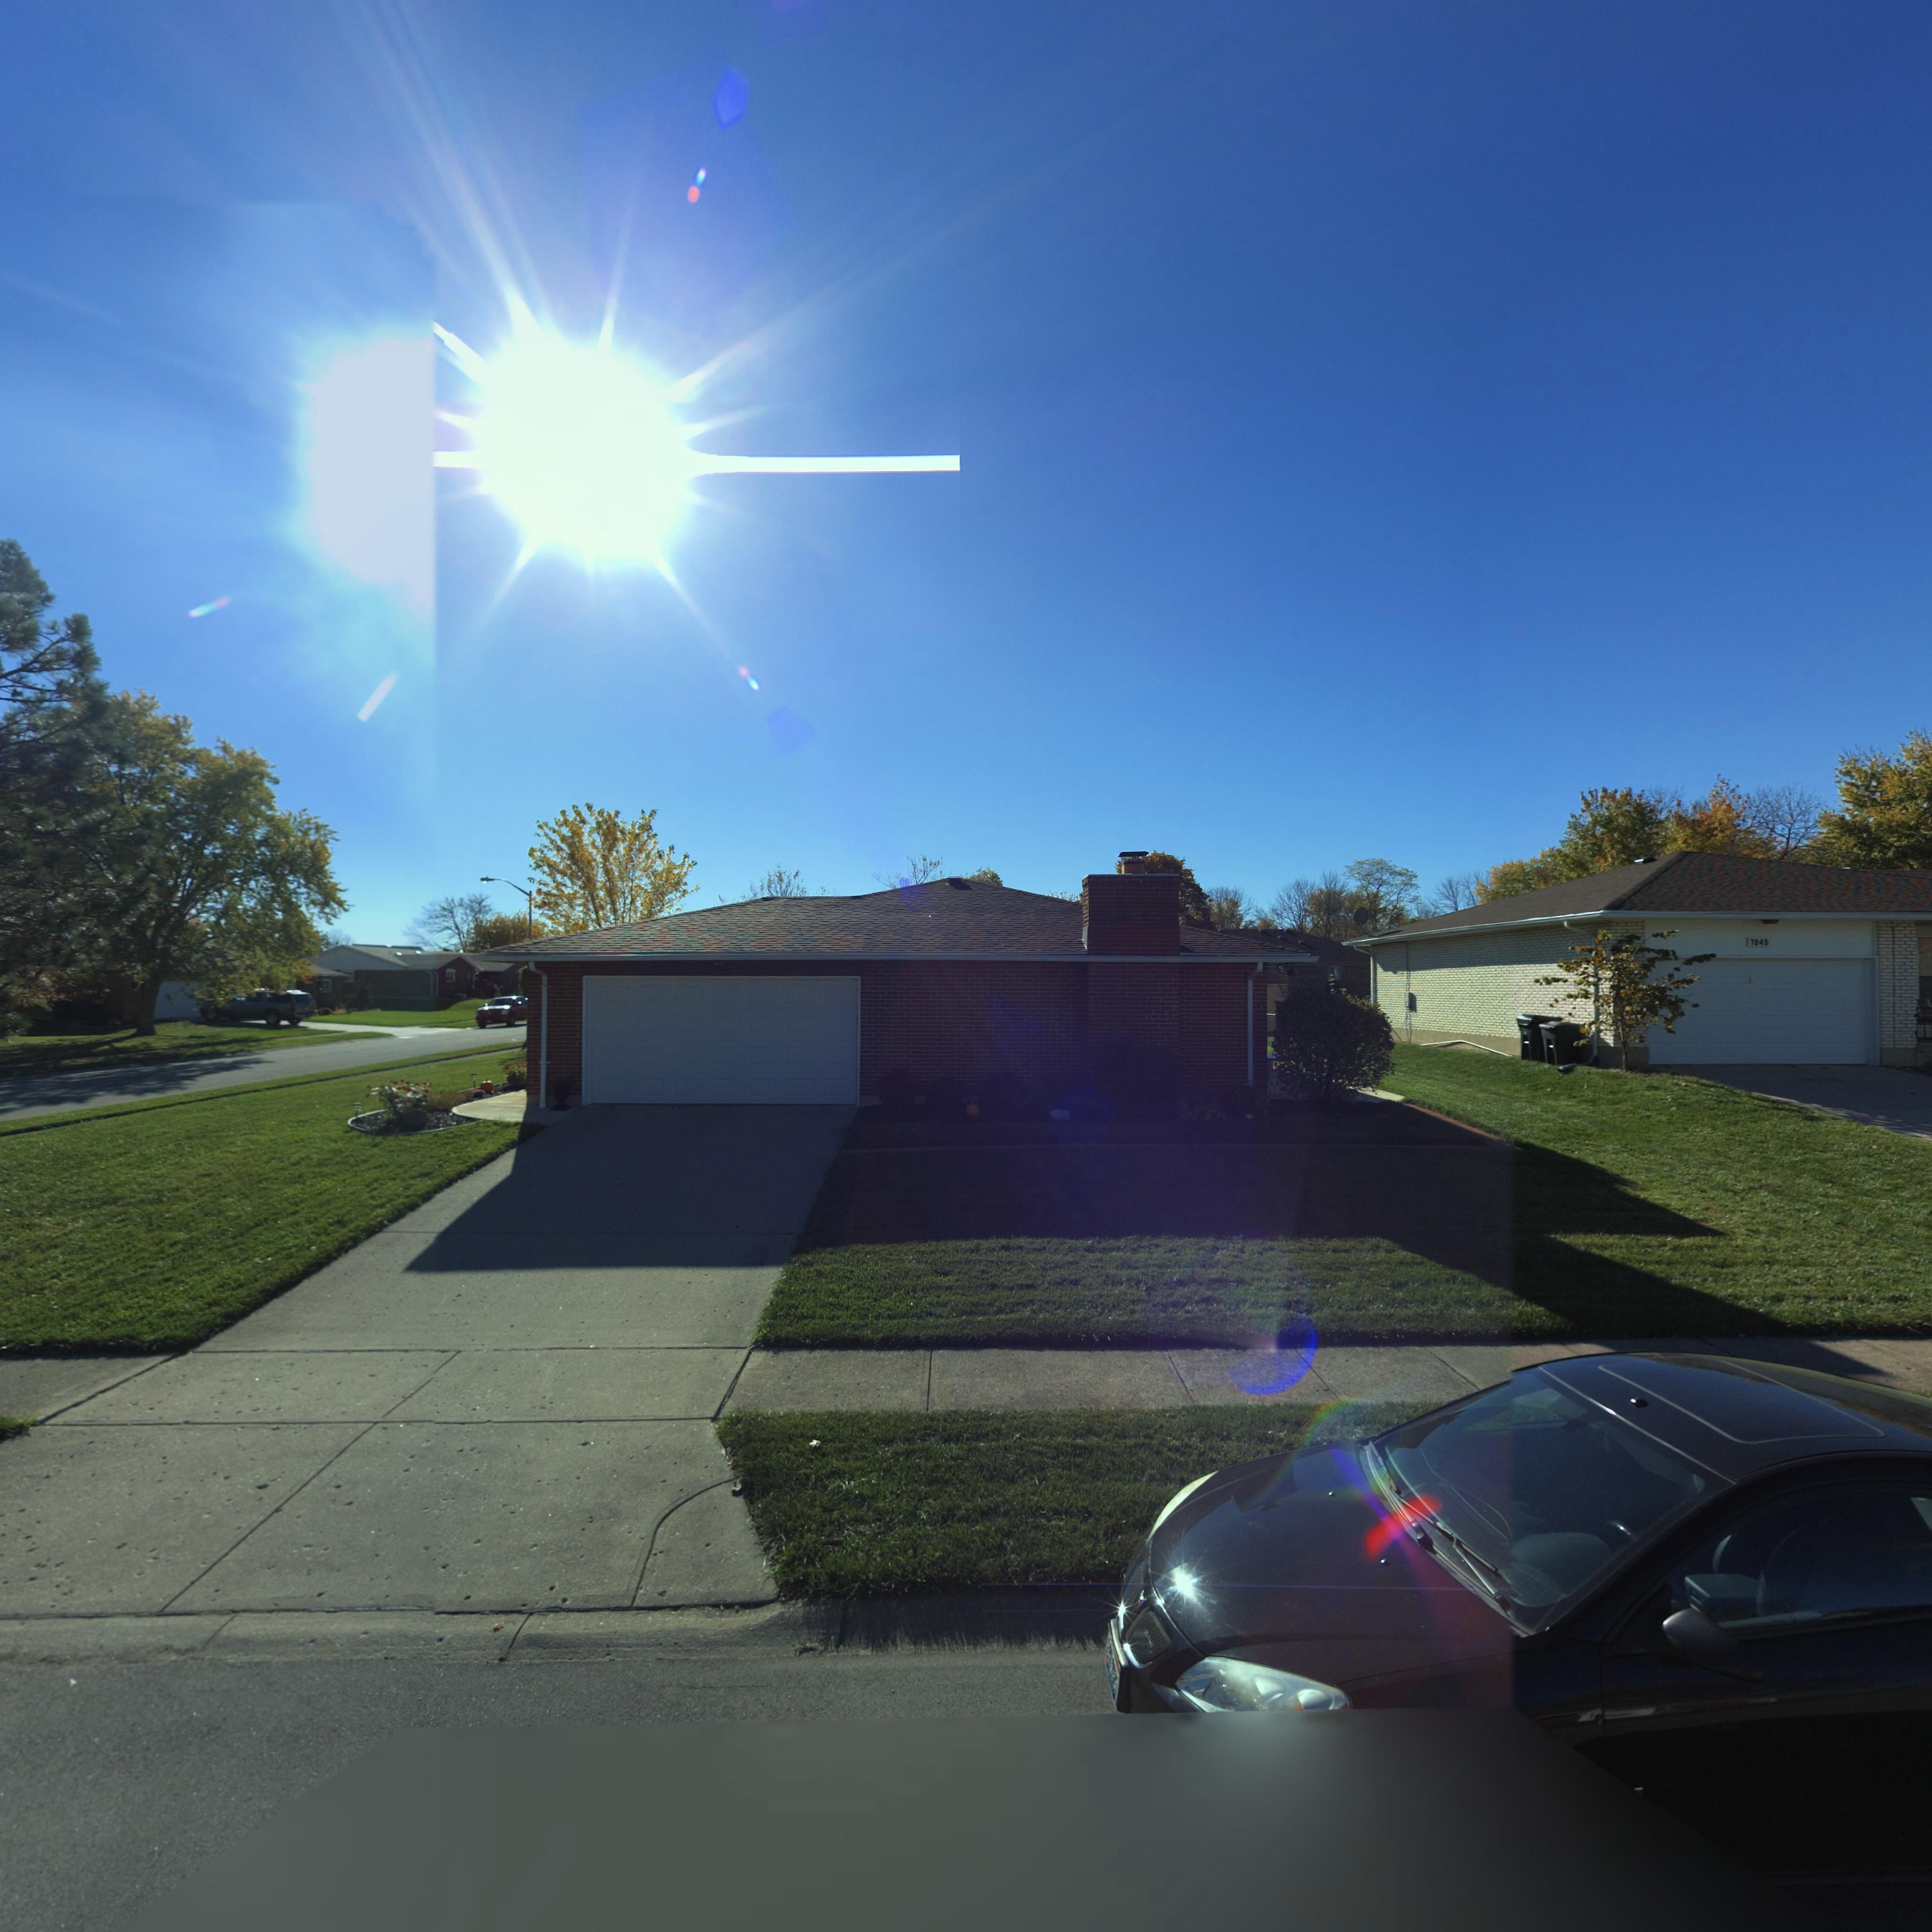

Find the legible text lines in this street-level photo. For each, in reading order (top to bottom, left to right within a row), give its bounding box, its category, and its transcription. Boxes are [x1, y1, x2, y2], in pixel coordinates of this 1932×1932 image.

[1750, 938, 1768, 946] StreetNumber: 7045